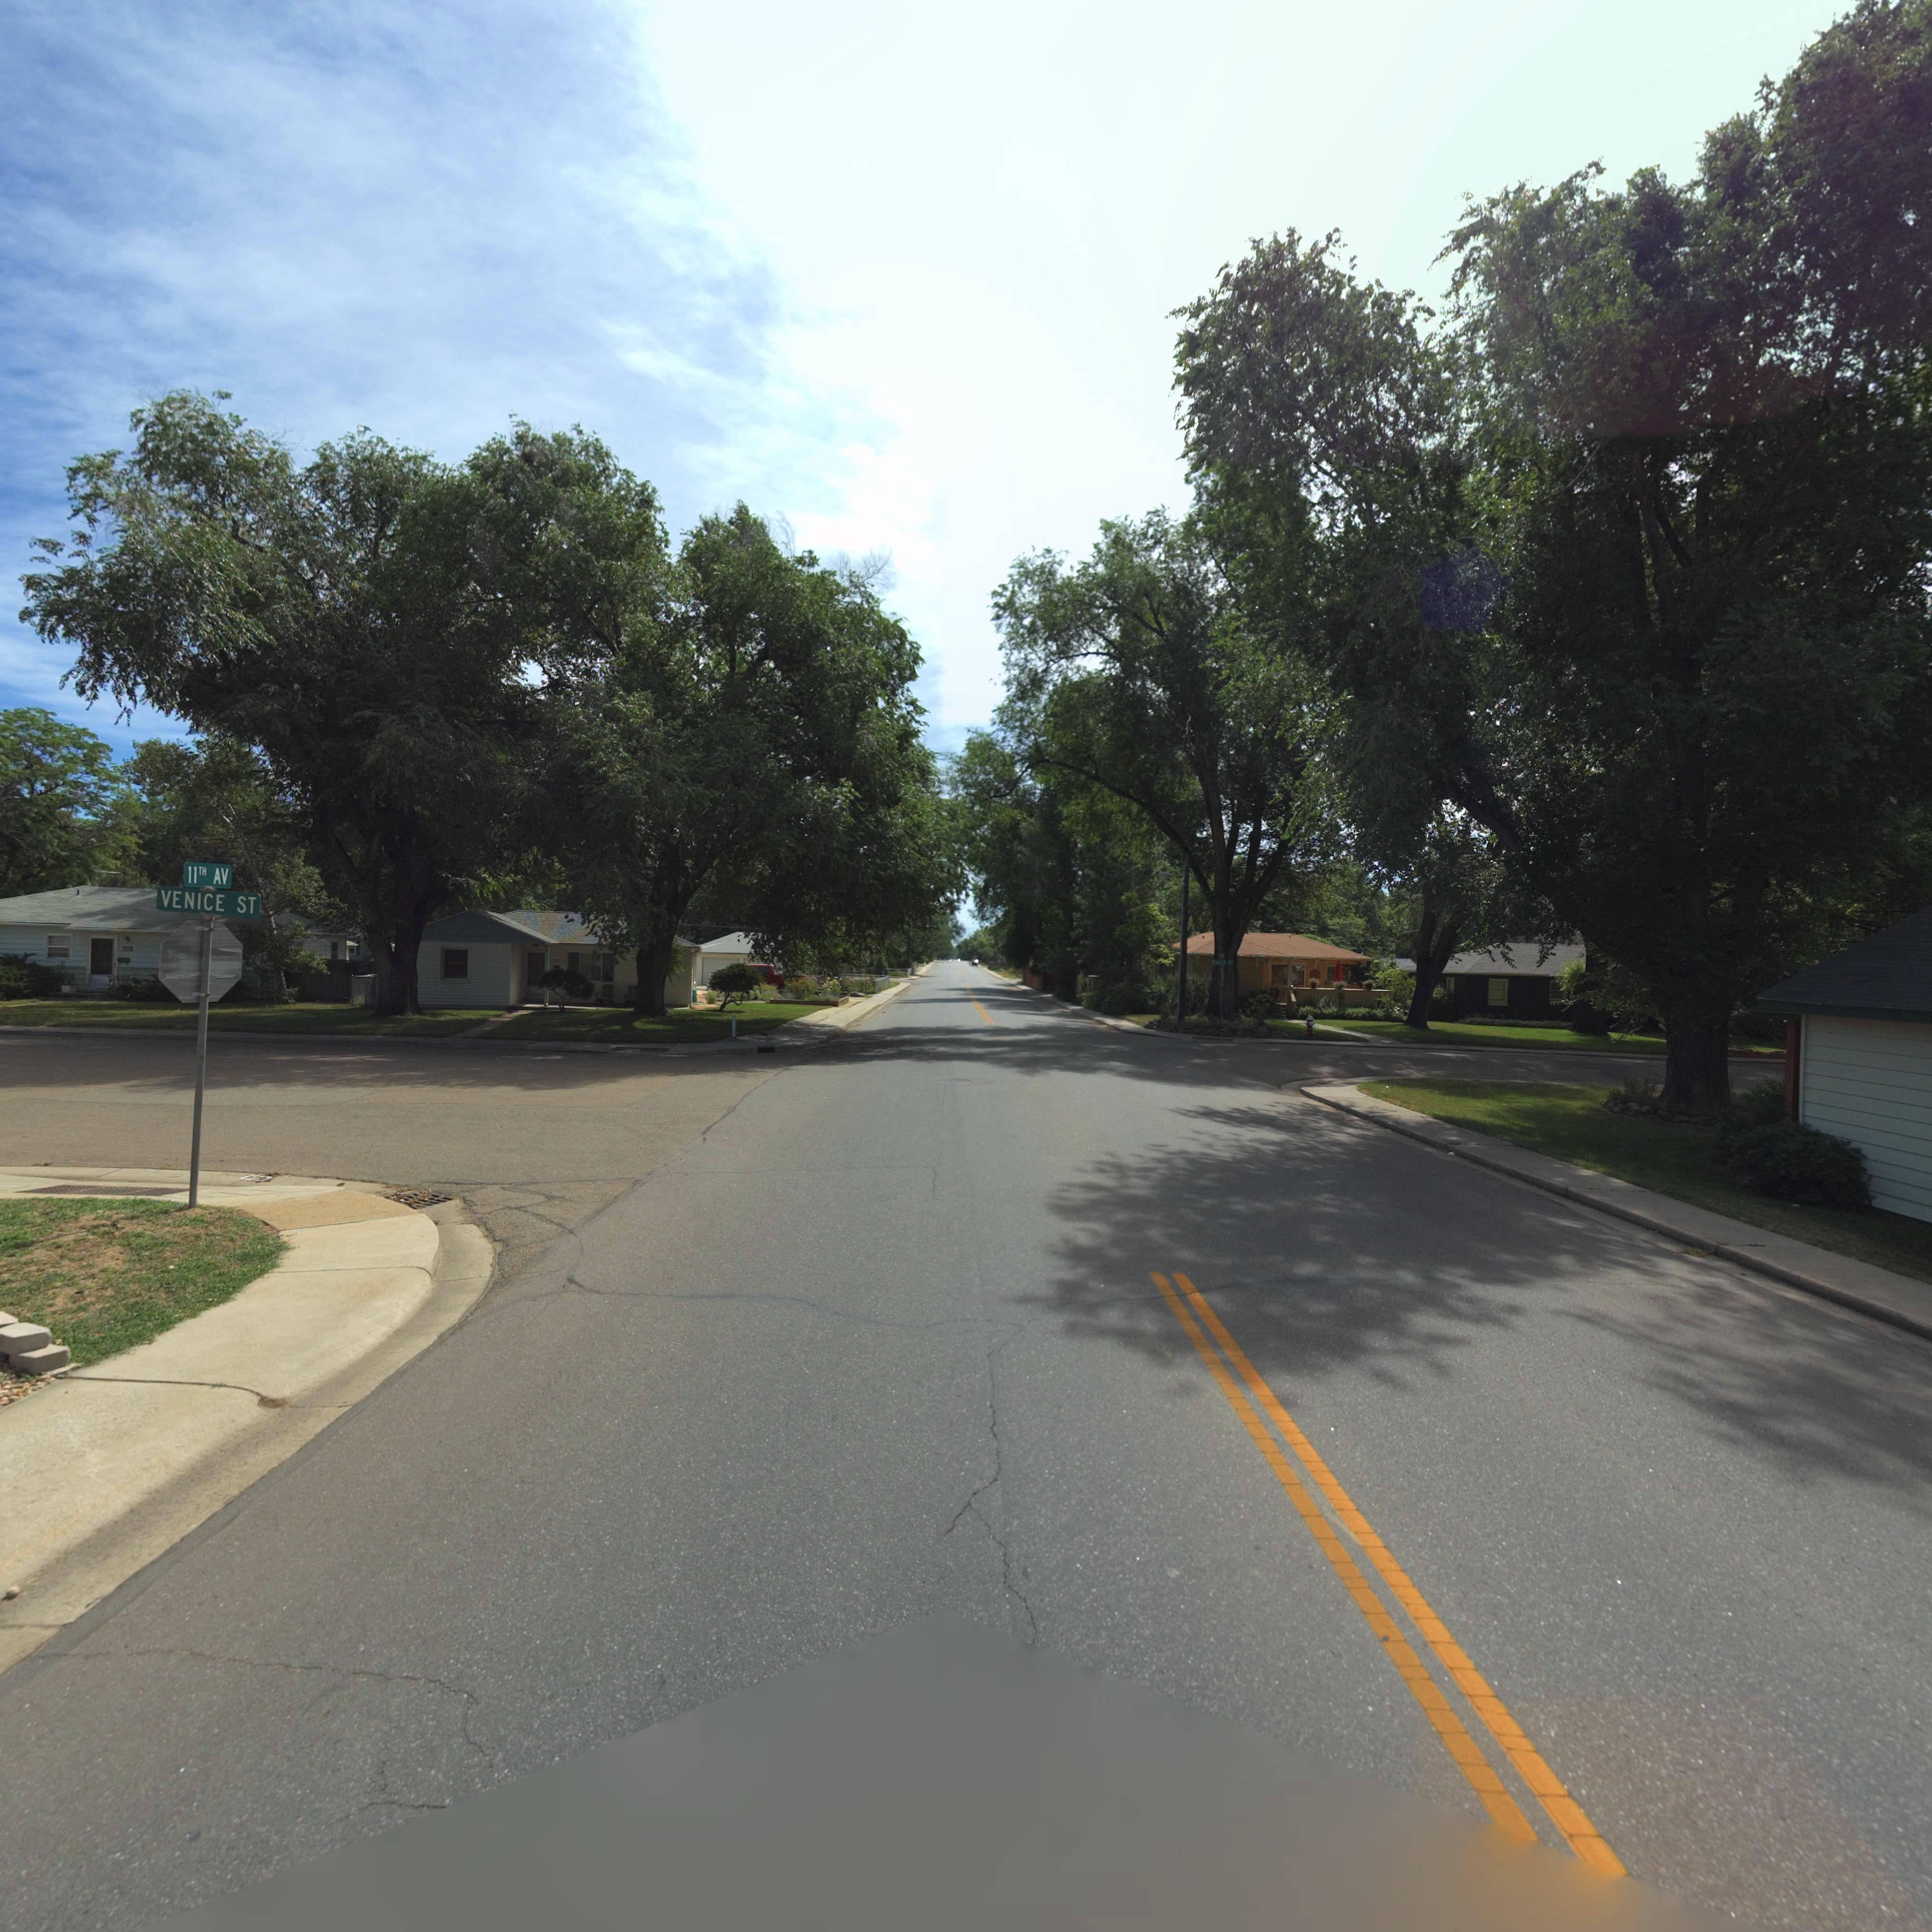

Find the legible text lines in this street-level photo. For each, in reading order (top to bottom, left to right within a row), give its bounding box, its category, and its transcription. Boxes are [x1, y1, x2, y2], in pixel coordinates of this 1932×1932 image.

[187, 865, 229, 885] StreetName: 11TH AV
[160, 889, 257, 915] StreetName: VENICE ST
[549, 957, 565, 964] StreetNumber: **00
[1210, 959, 1234, 965] StreetName: VEN*CE ST